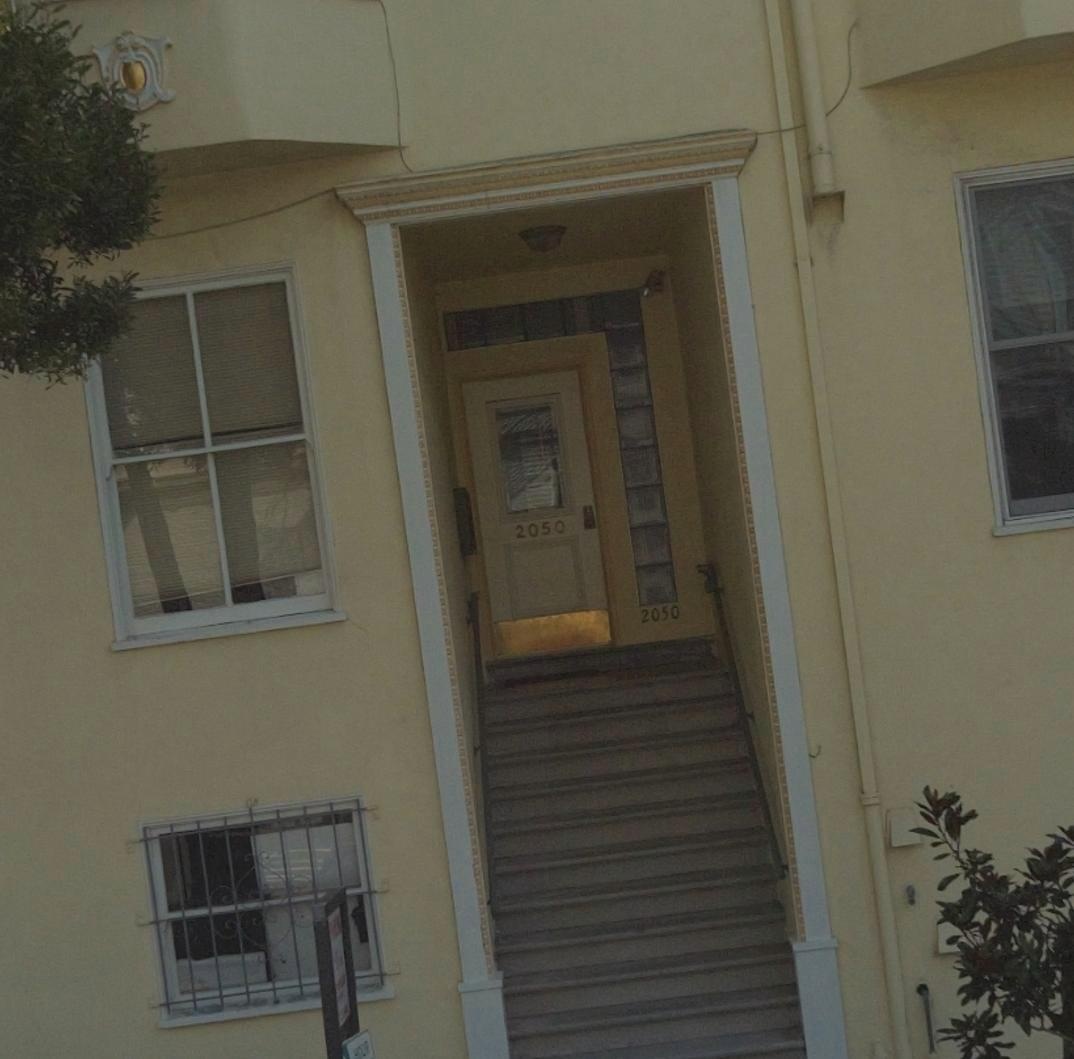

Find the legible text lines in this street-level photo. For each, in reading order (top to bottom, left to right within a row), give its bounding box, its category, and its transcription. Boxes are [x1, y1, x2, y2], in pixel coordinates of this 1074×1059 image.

[514, 518, 568, 542] StreetNumber: 2050
[639, 602, 682, 627] StreetNumber: 2050